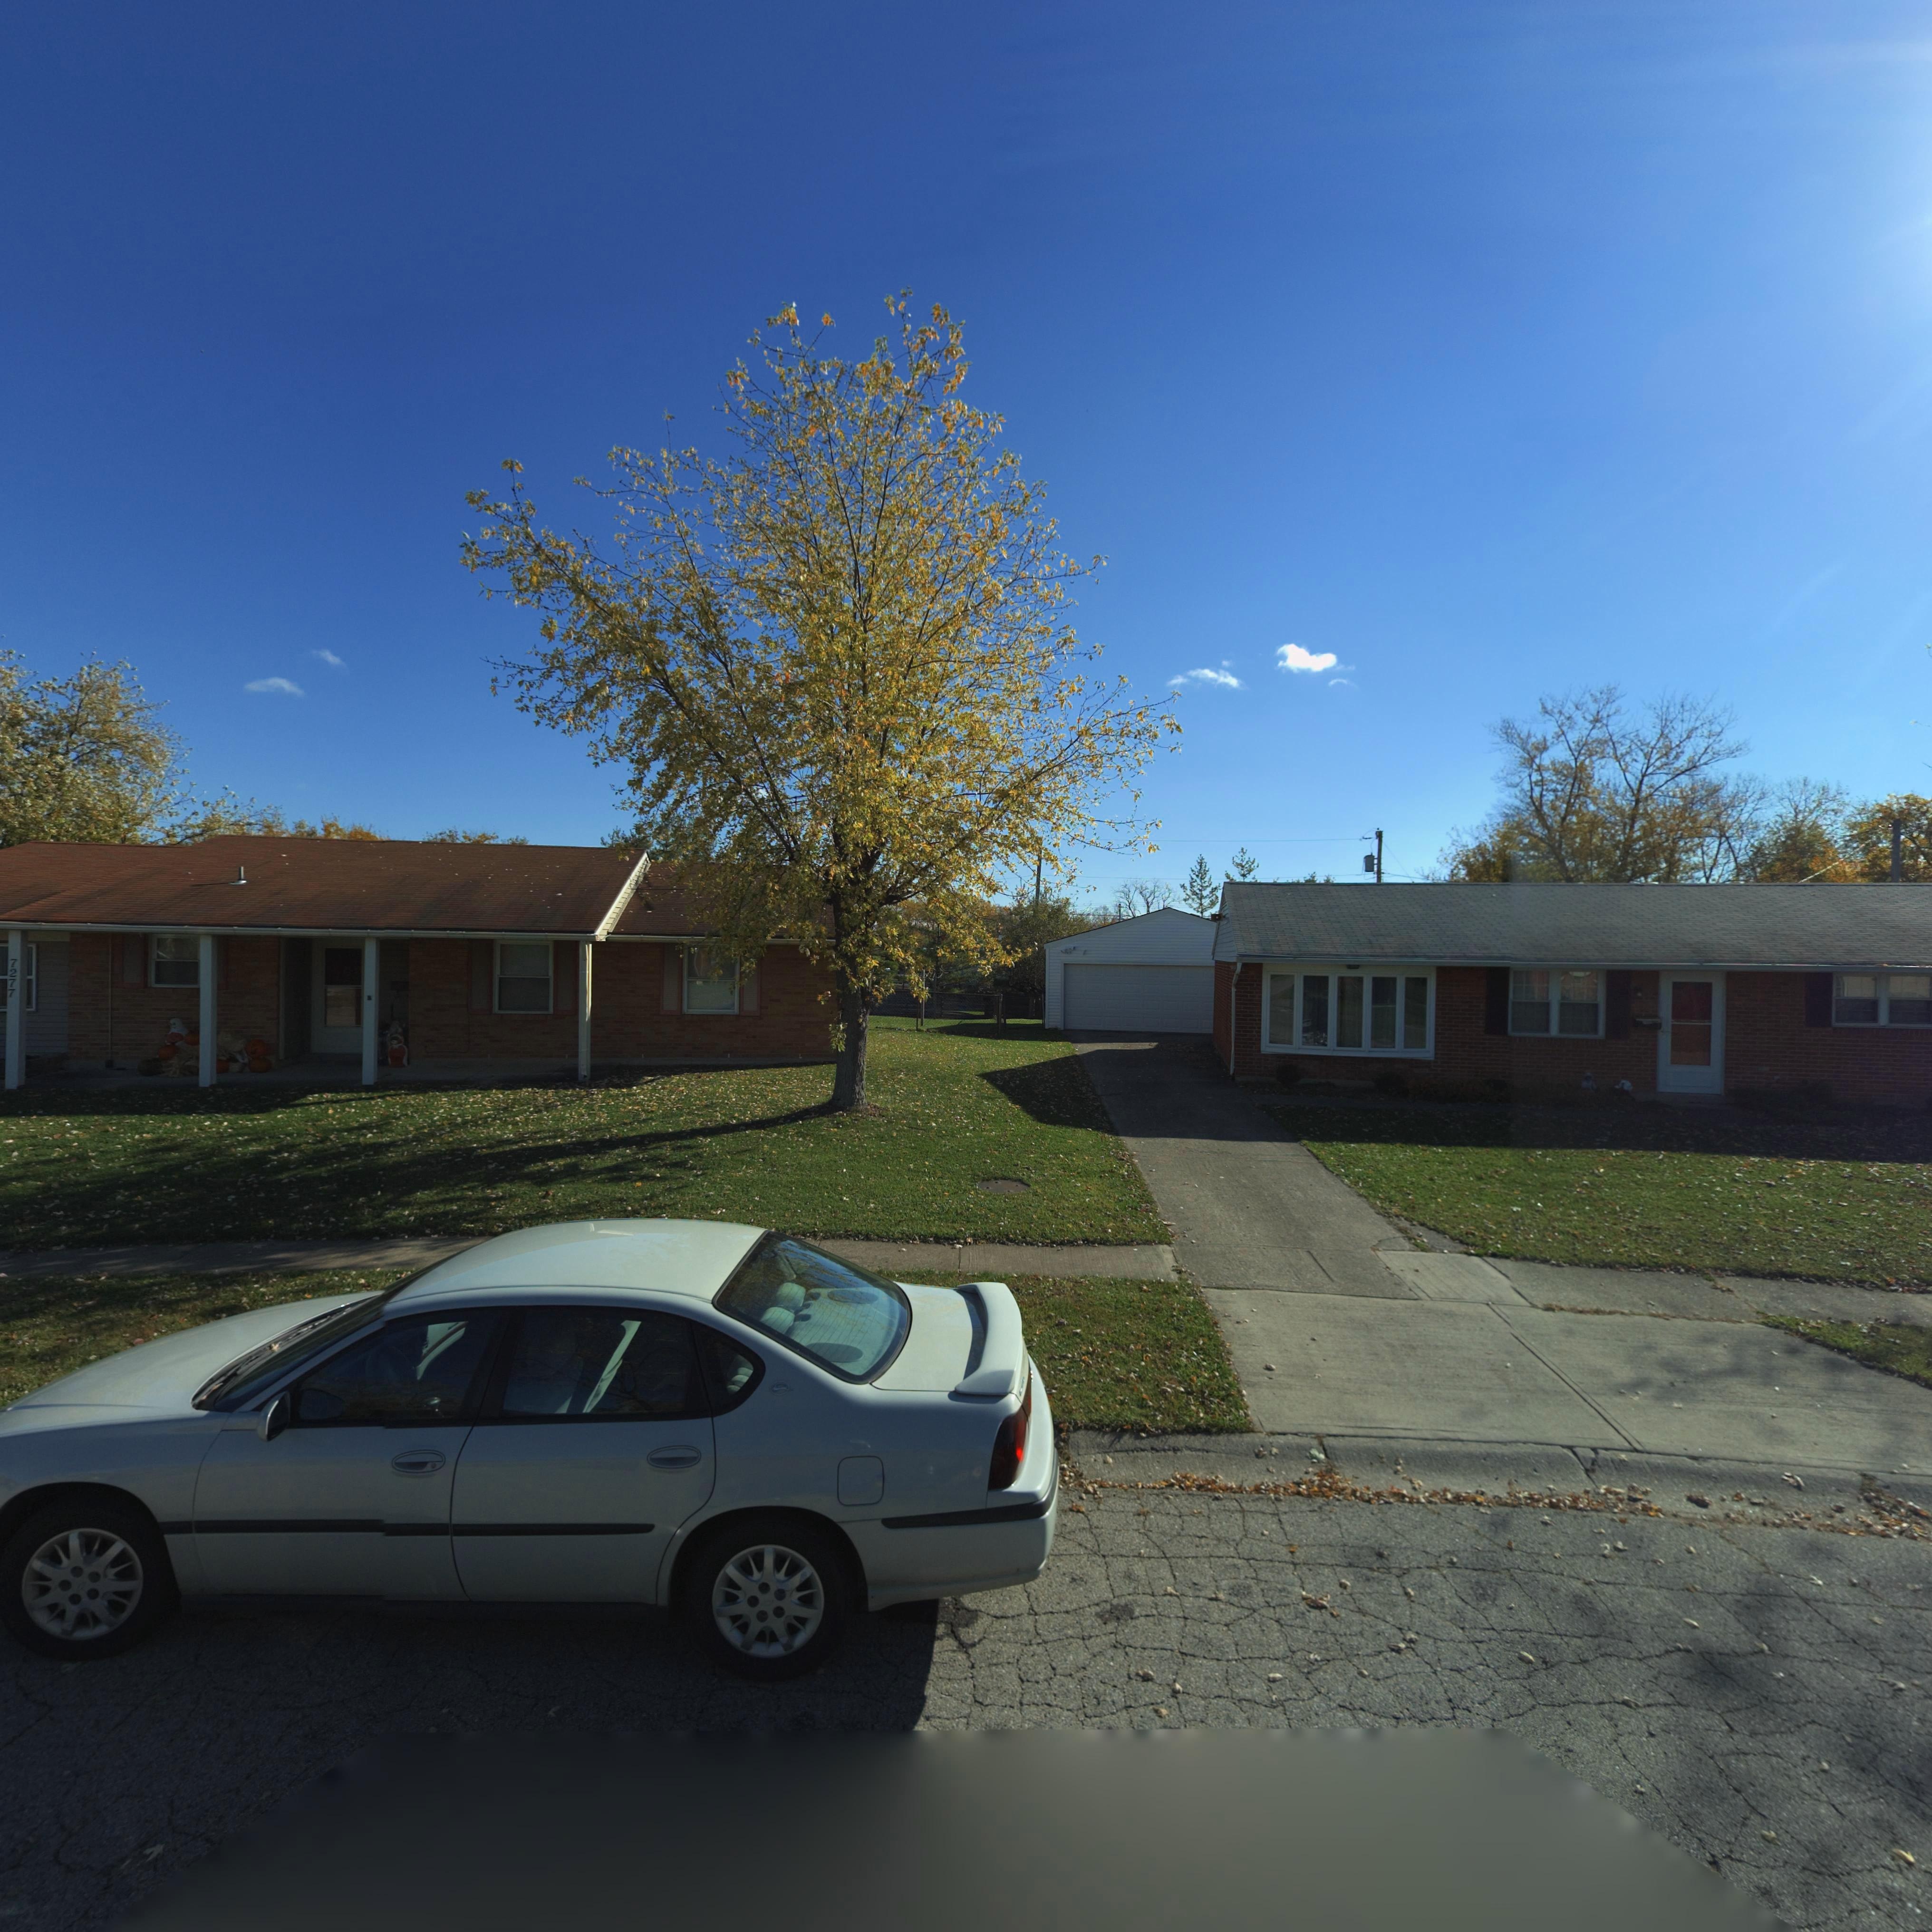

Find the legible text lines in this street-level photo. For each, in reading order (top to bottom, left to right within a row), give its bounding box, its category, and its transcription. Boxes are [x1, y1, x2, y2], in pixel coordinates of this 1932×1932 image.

[6, 957, 19, 999] StreetNumber: 7277